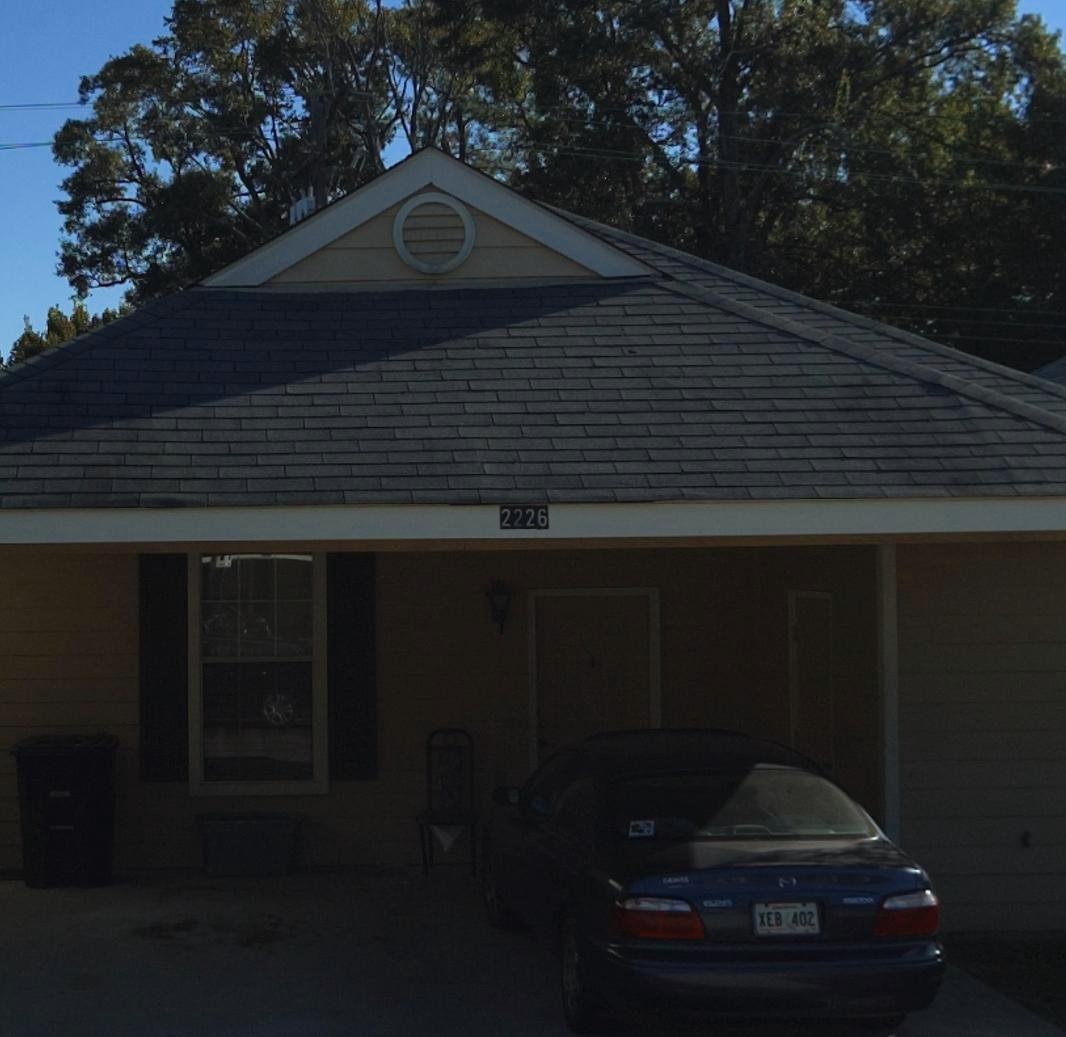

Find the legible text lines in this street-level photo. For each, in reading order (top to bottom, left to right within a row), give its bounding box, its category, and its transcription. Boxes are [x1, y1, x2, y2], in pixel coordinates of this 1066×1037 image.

[500, 507, 548, 528] StreetNumber: 2226
[756, 910, 816, 928] None: XEB 402